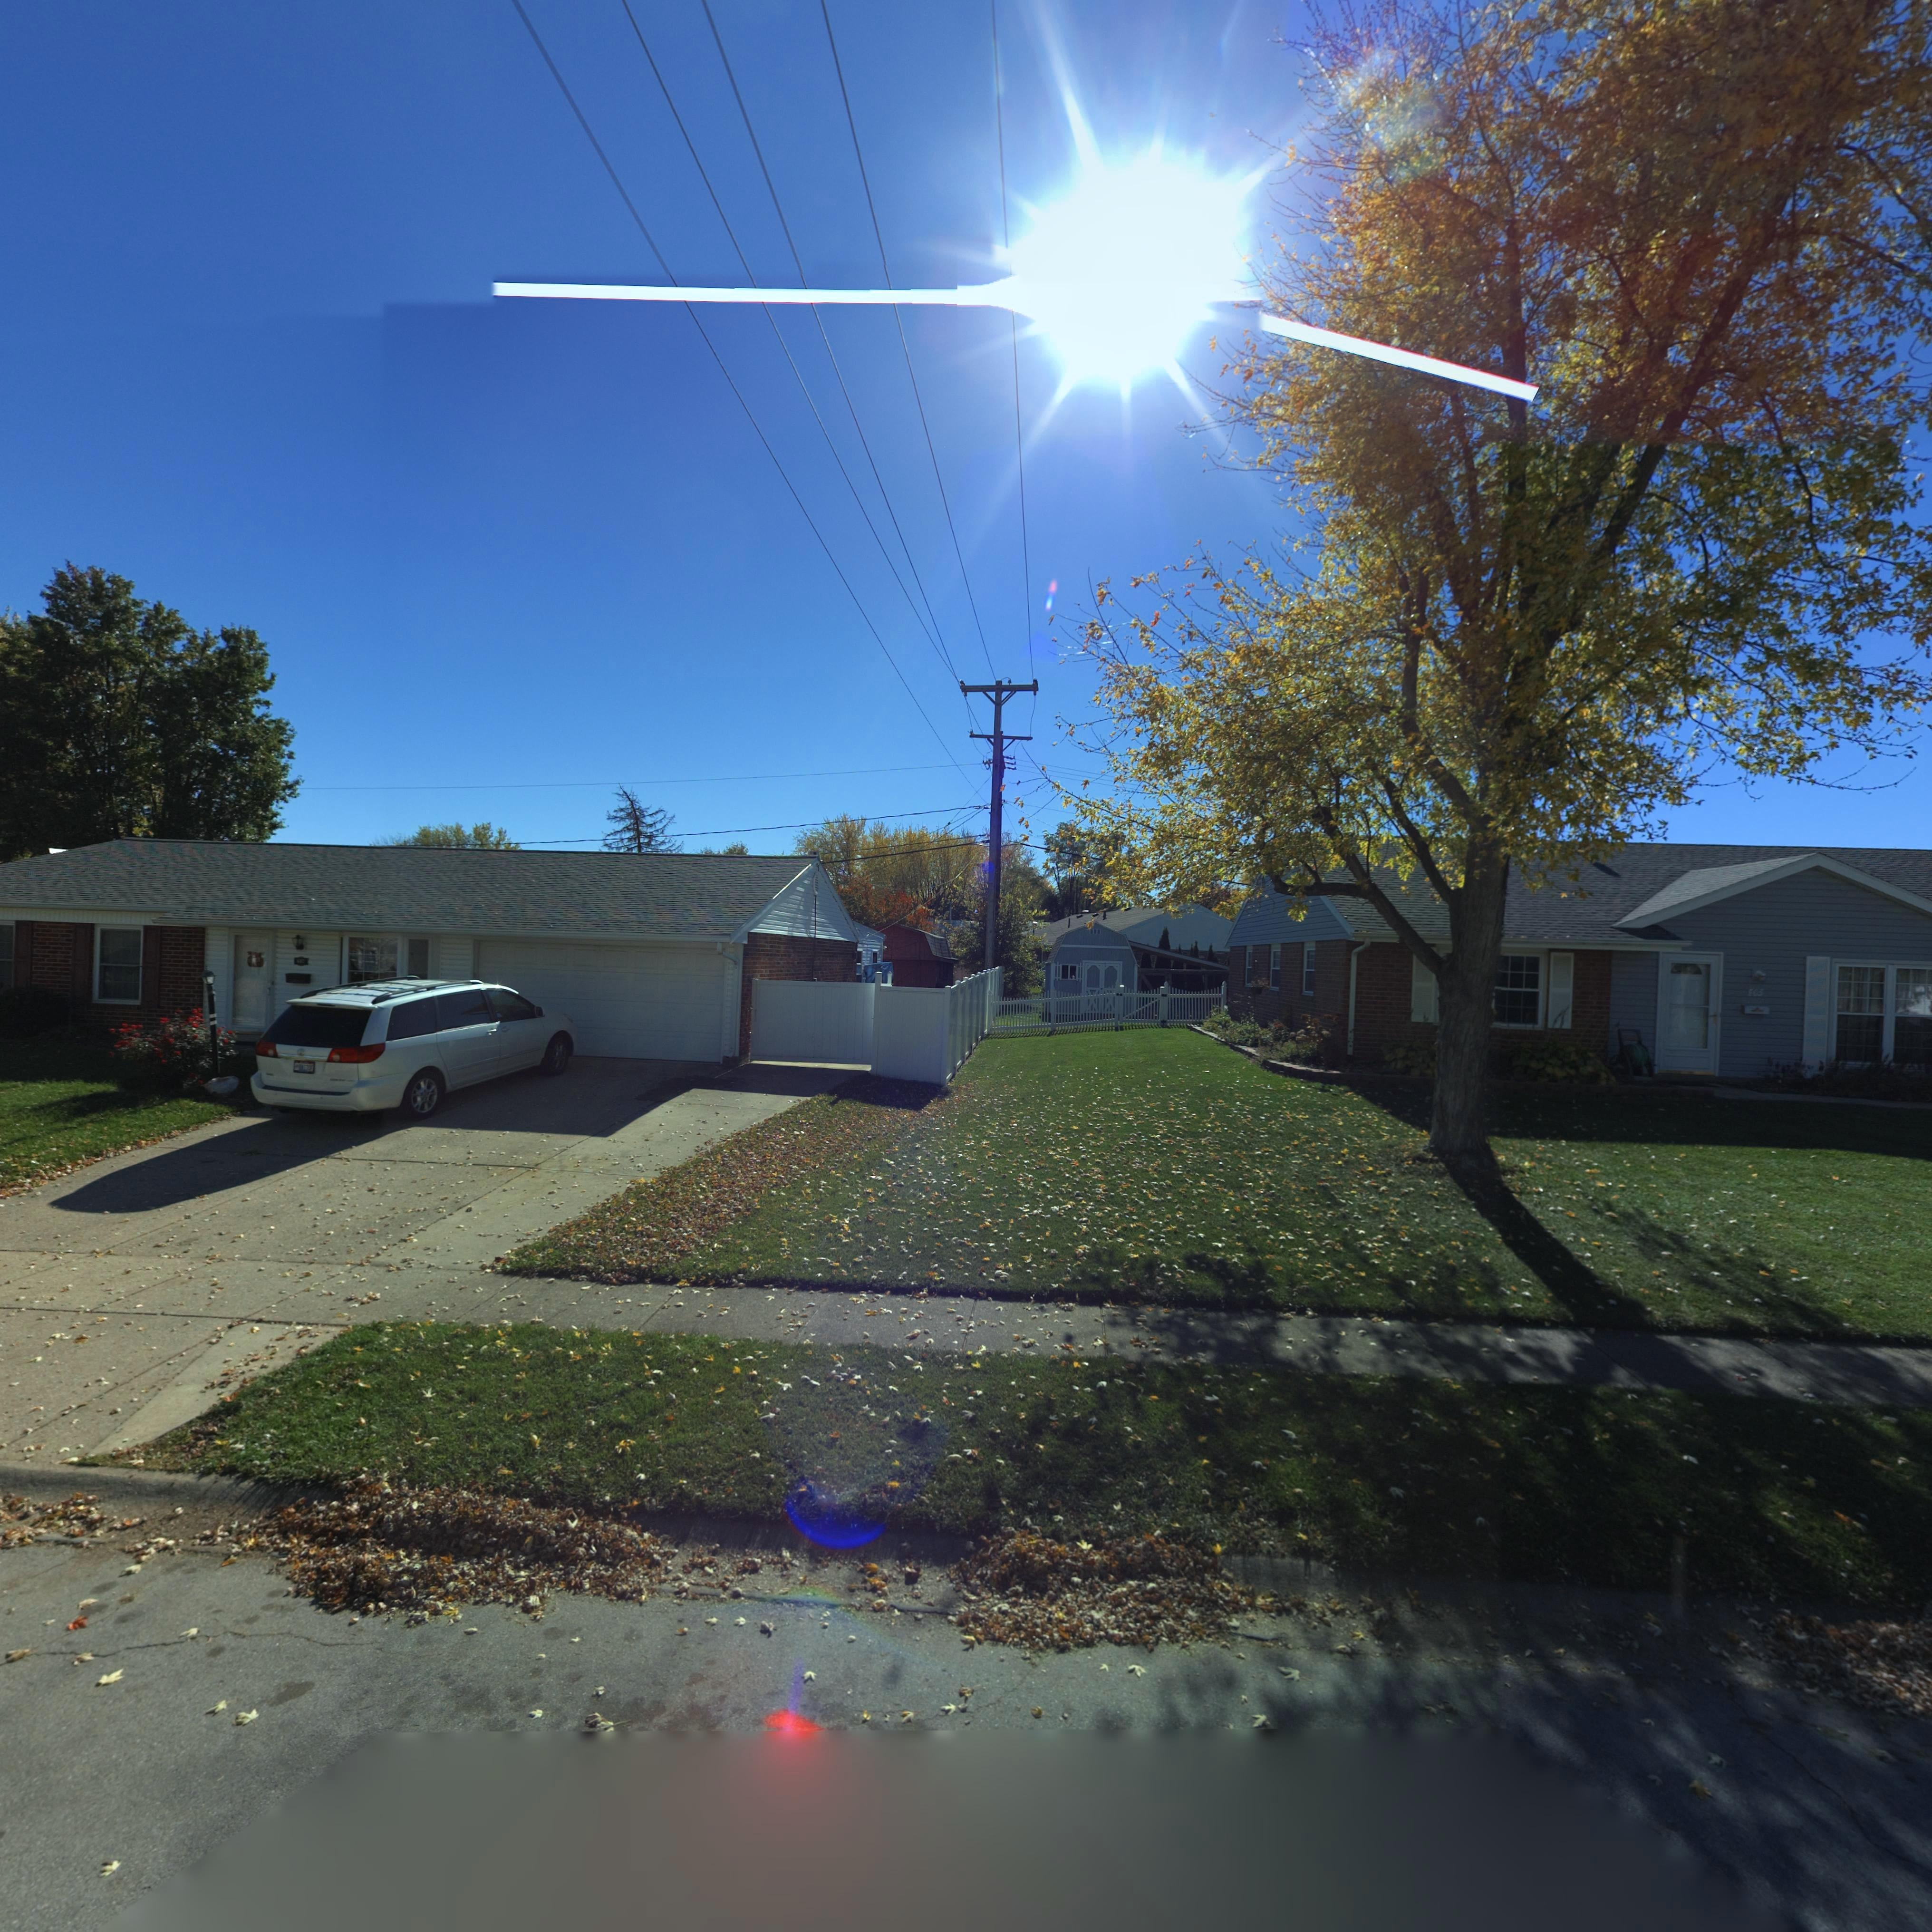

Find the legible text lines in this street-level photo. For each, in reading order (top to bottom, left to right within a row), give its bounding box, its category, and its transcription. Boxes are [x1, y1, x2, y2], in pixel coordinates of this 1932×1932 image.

[296, 959, 305, 964] StreetNumber: 807
[1747, 988, 1764, 997] StreetNumber: 805